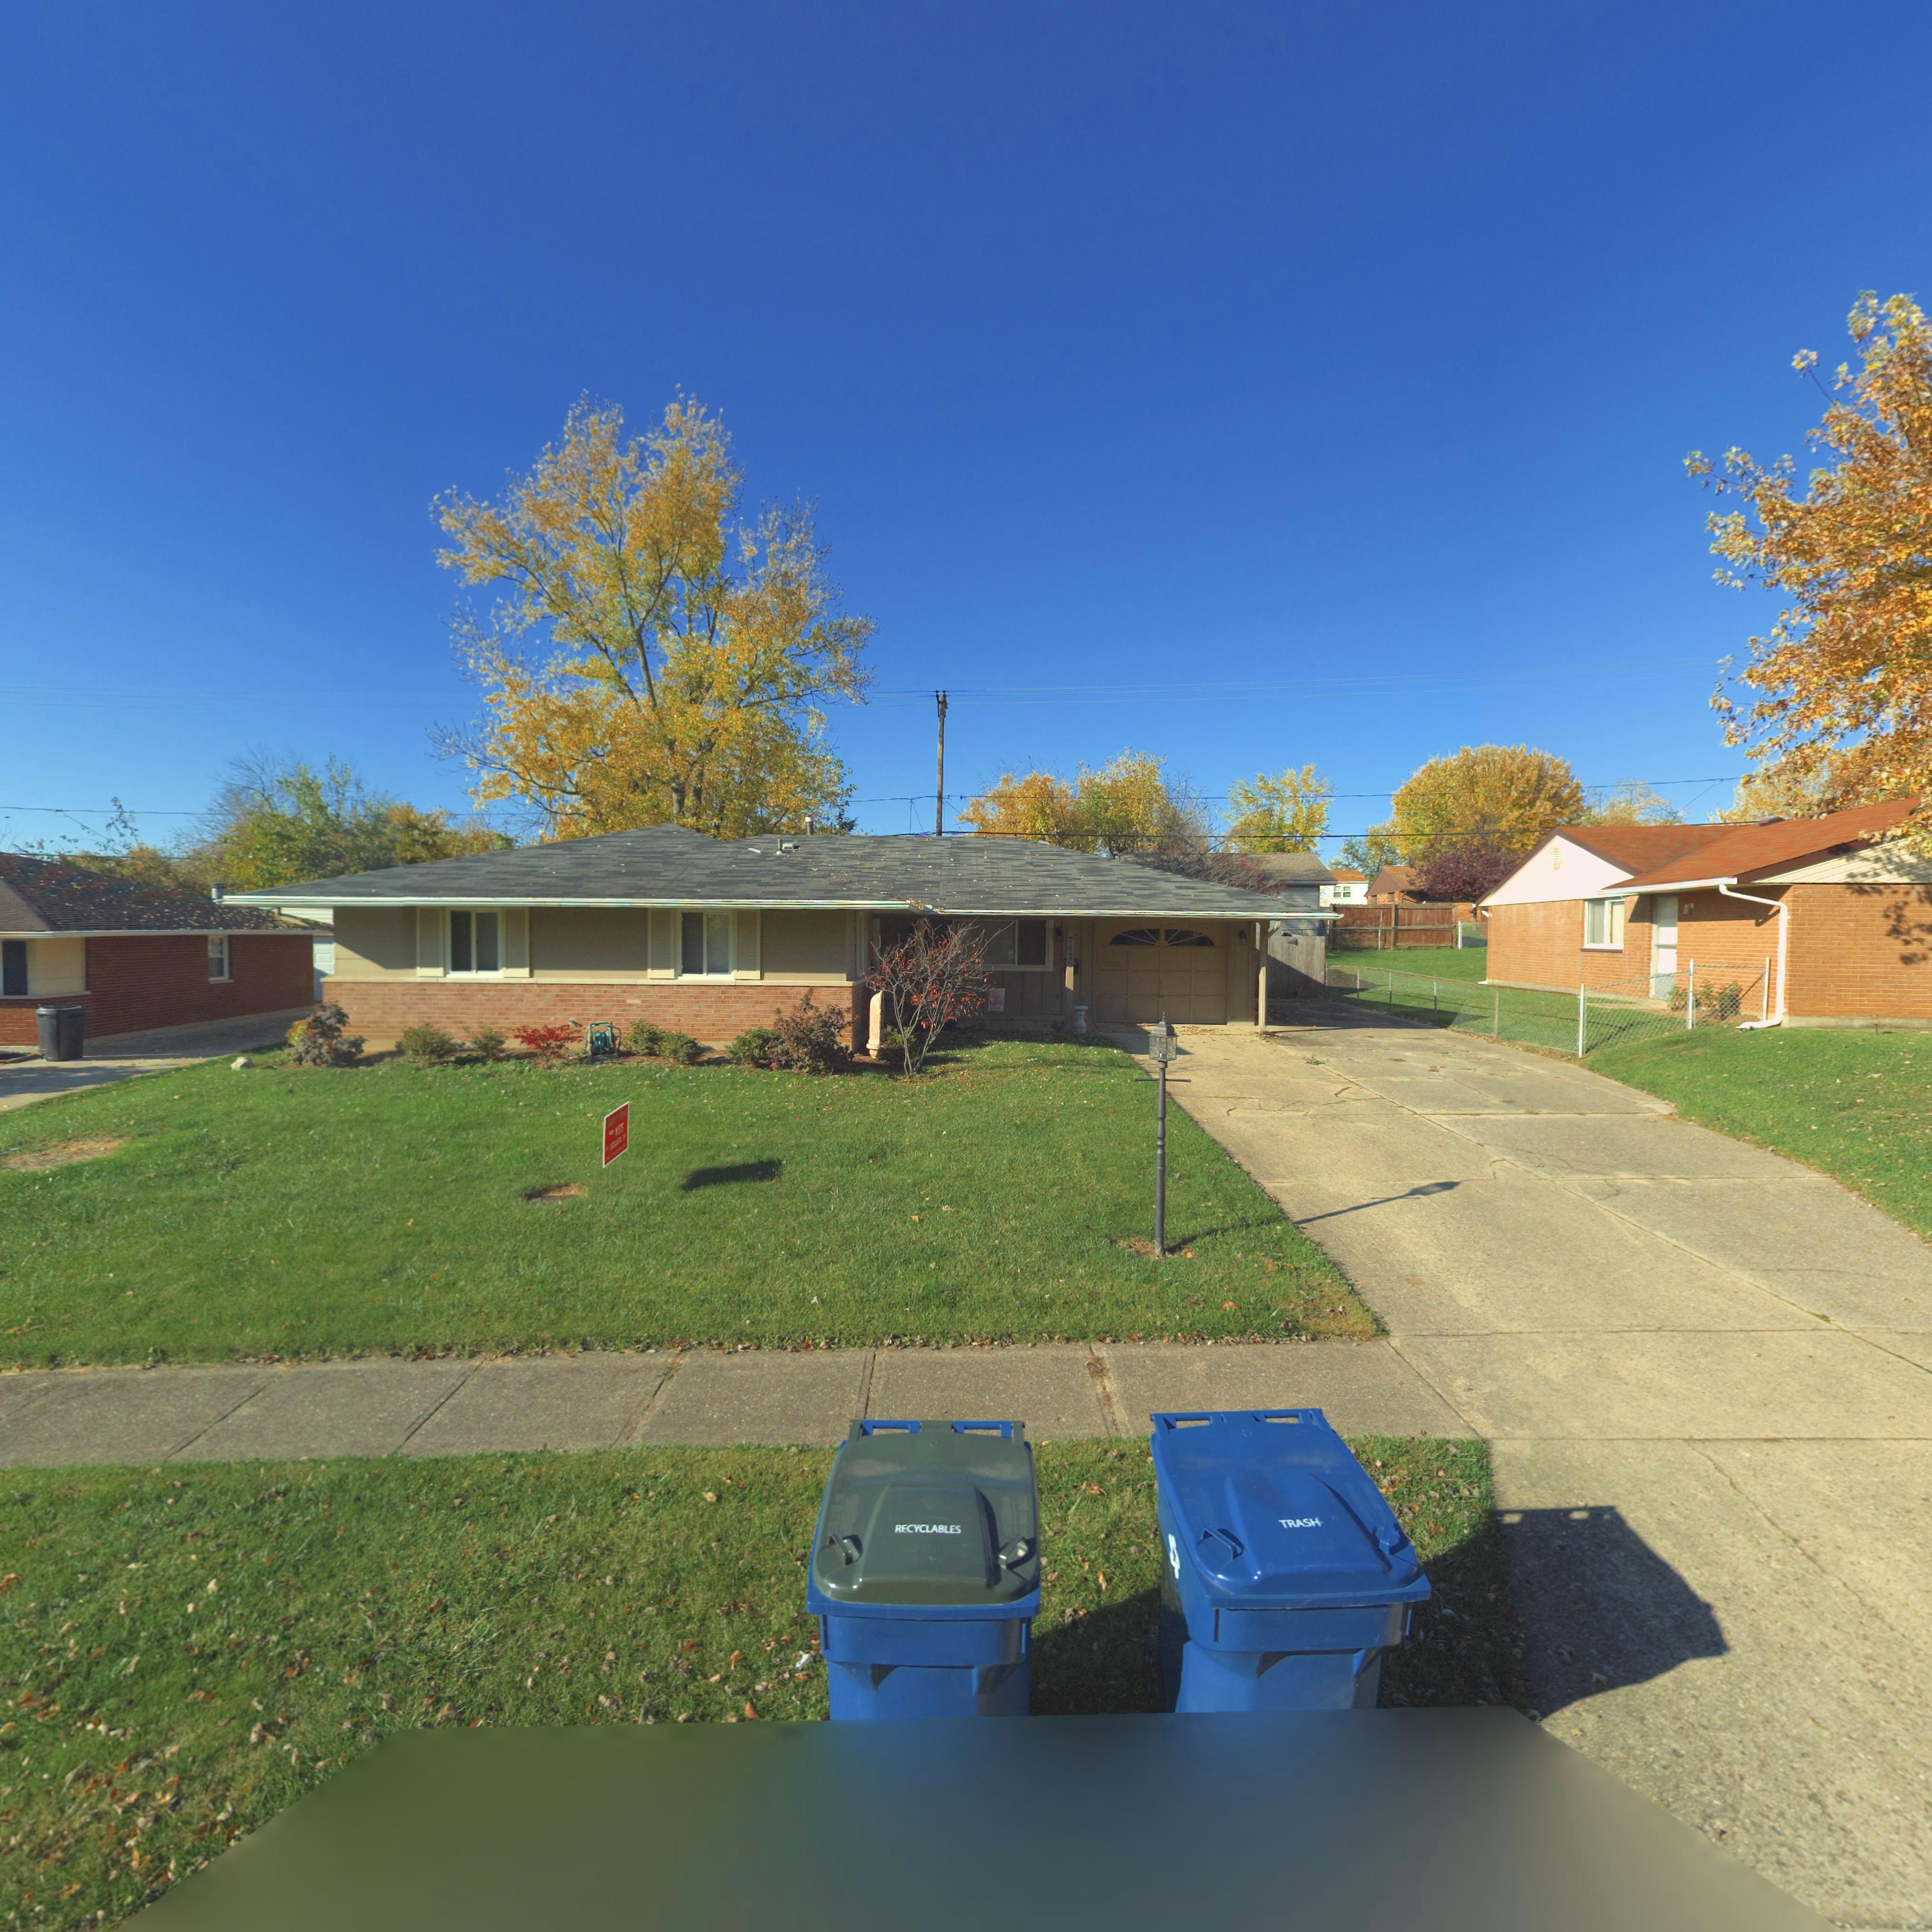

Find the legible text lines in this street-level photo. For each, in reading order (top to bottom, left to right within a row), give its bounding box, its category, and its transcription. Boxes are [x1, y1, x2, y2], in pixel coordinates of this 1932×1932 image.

[1067, 936, 1073, 968] StreetNumber: 7625